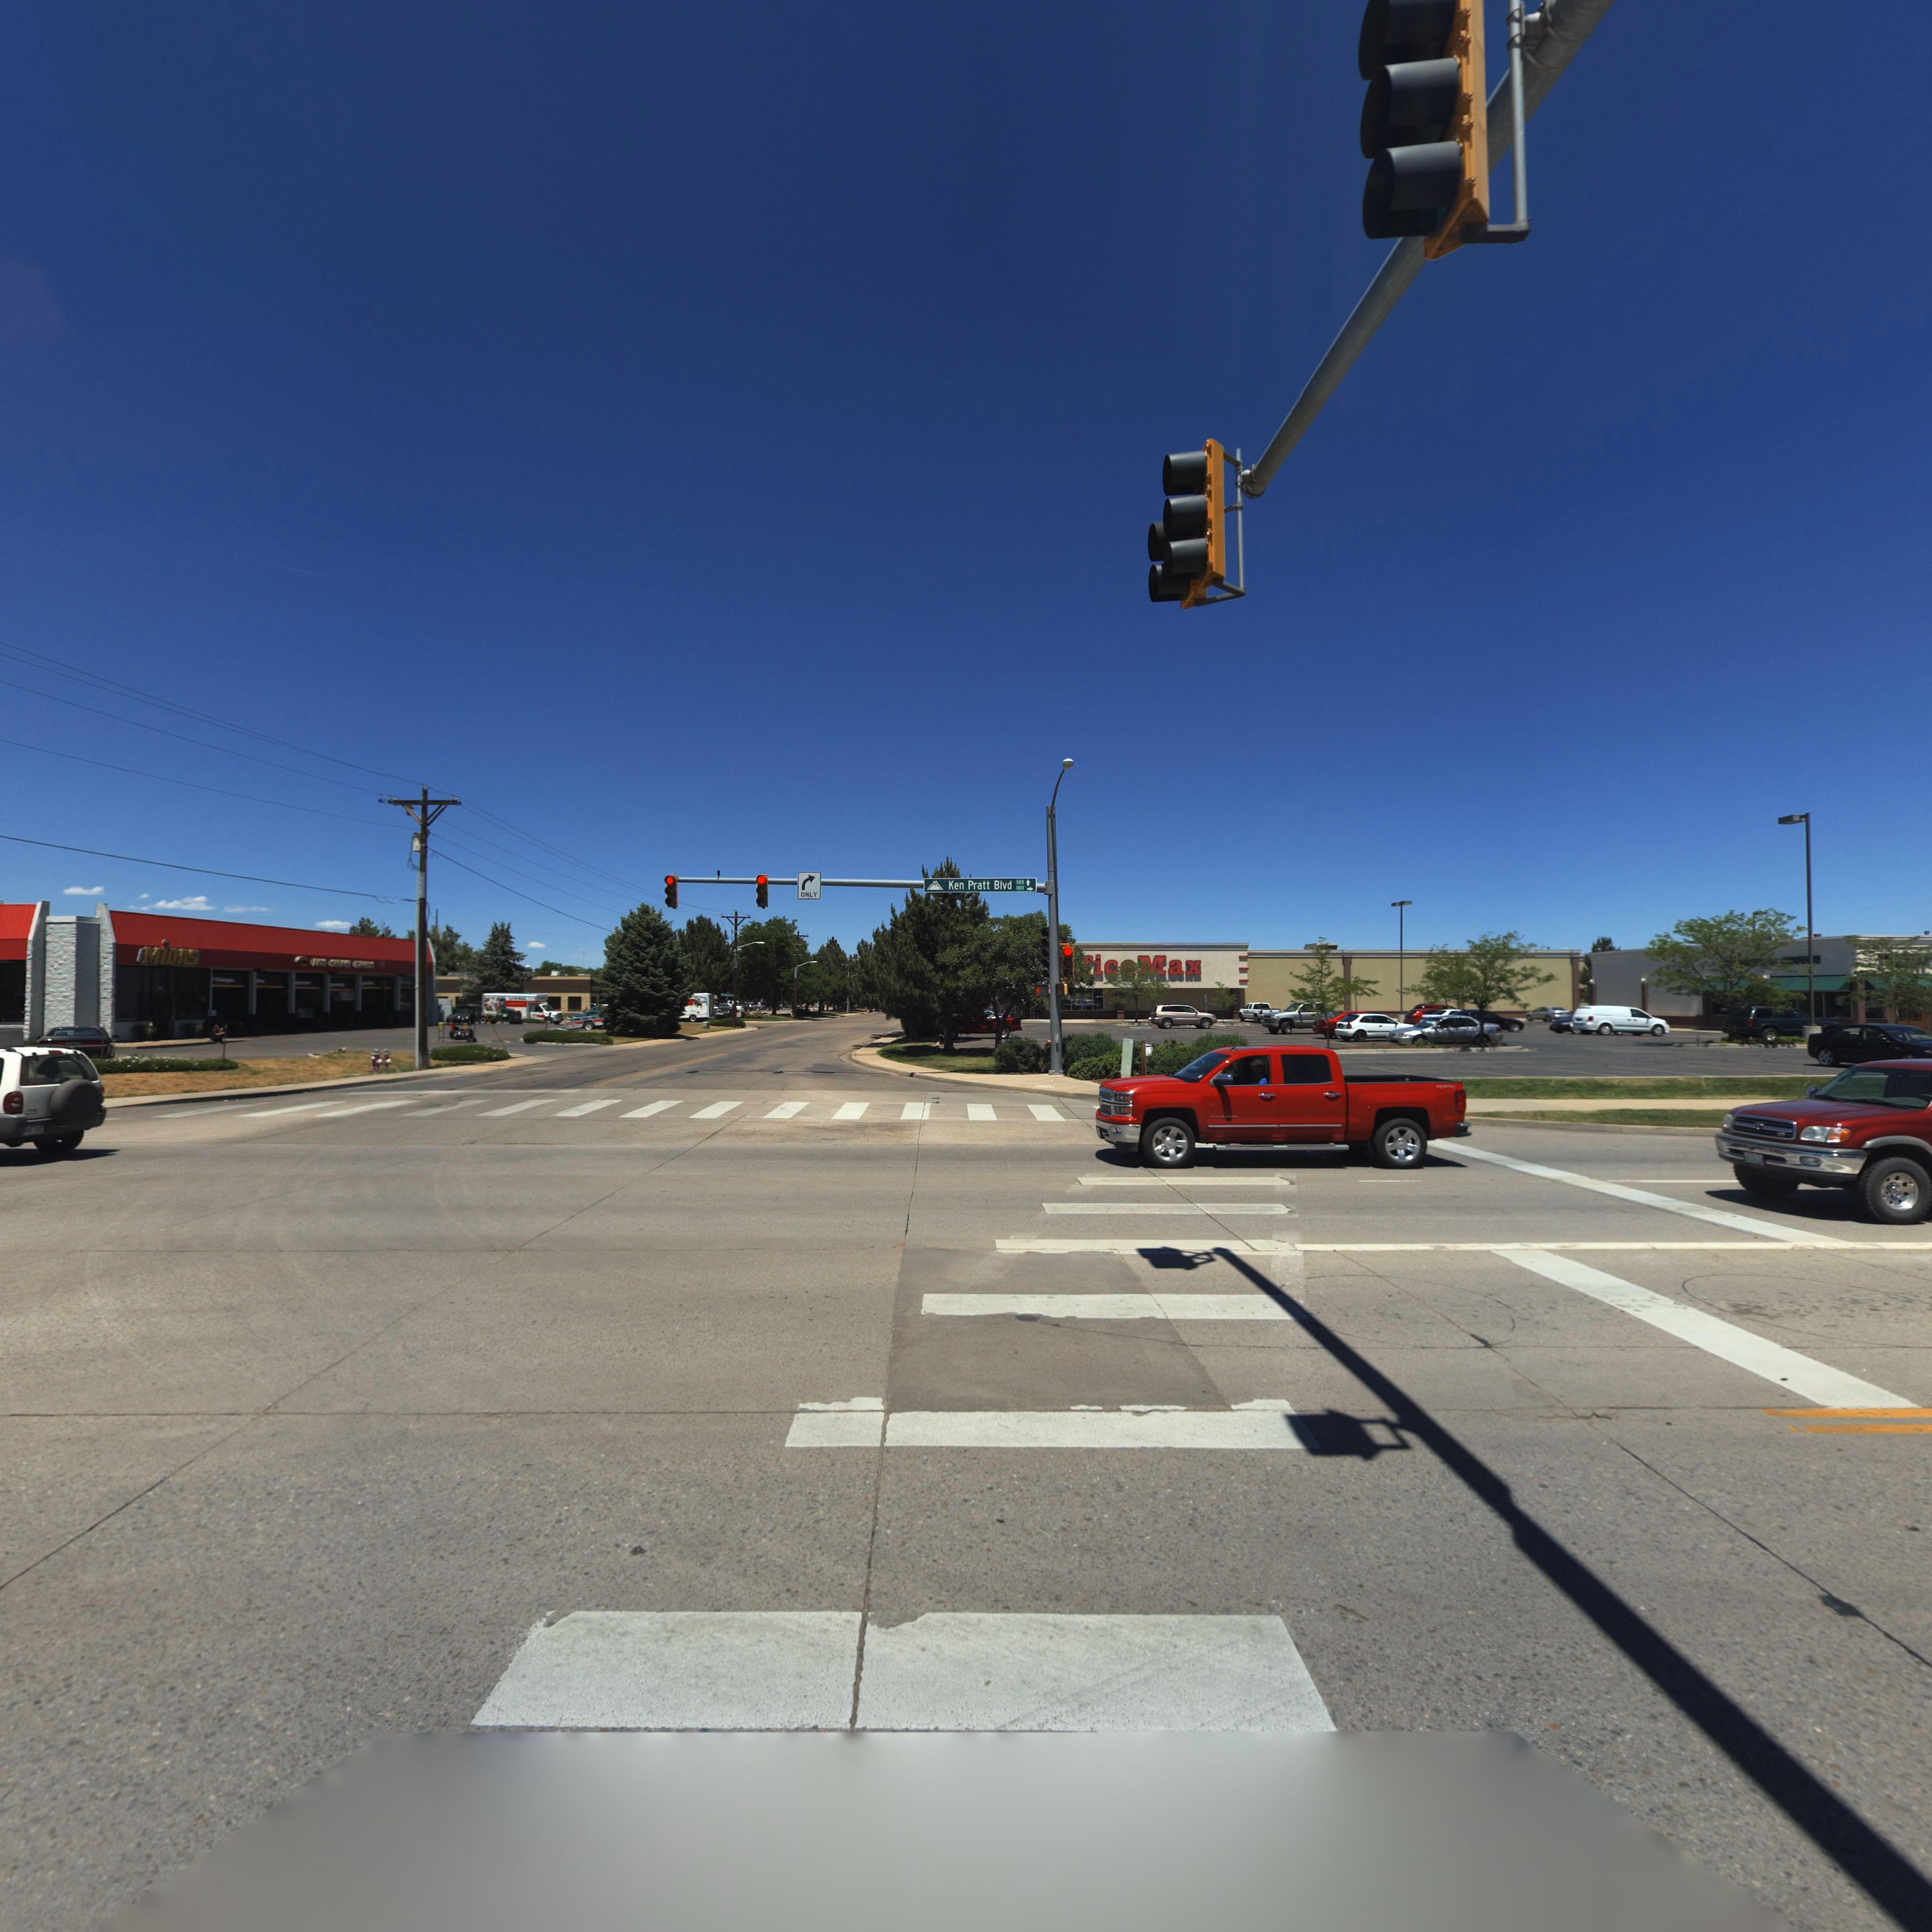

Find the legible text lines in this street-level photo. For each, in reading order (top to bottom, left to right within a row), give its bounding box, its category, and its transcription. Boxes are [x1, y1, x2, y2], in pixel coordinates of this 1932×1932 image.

[948, 879, 1012, 890] StreetName: Ken Pratt Blvd
[1015, 879, 1024, 885] StreetNumberRange: 500
[1016, 885, 1034, 891] StreetNumberRange: 1**0->
[141, 938, 200, 966] BusinessName: MiDAS
[1081, 954, 1202, 975] BusinessName: *ic*Max